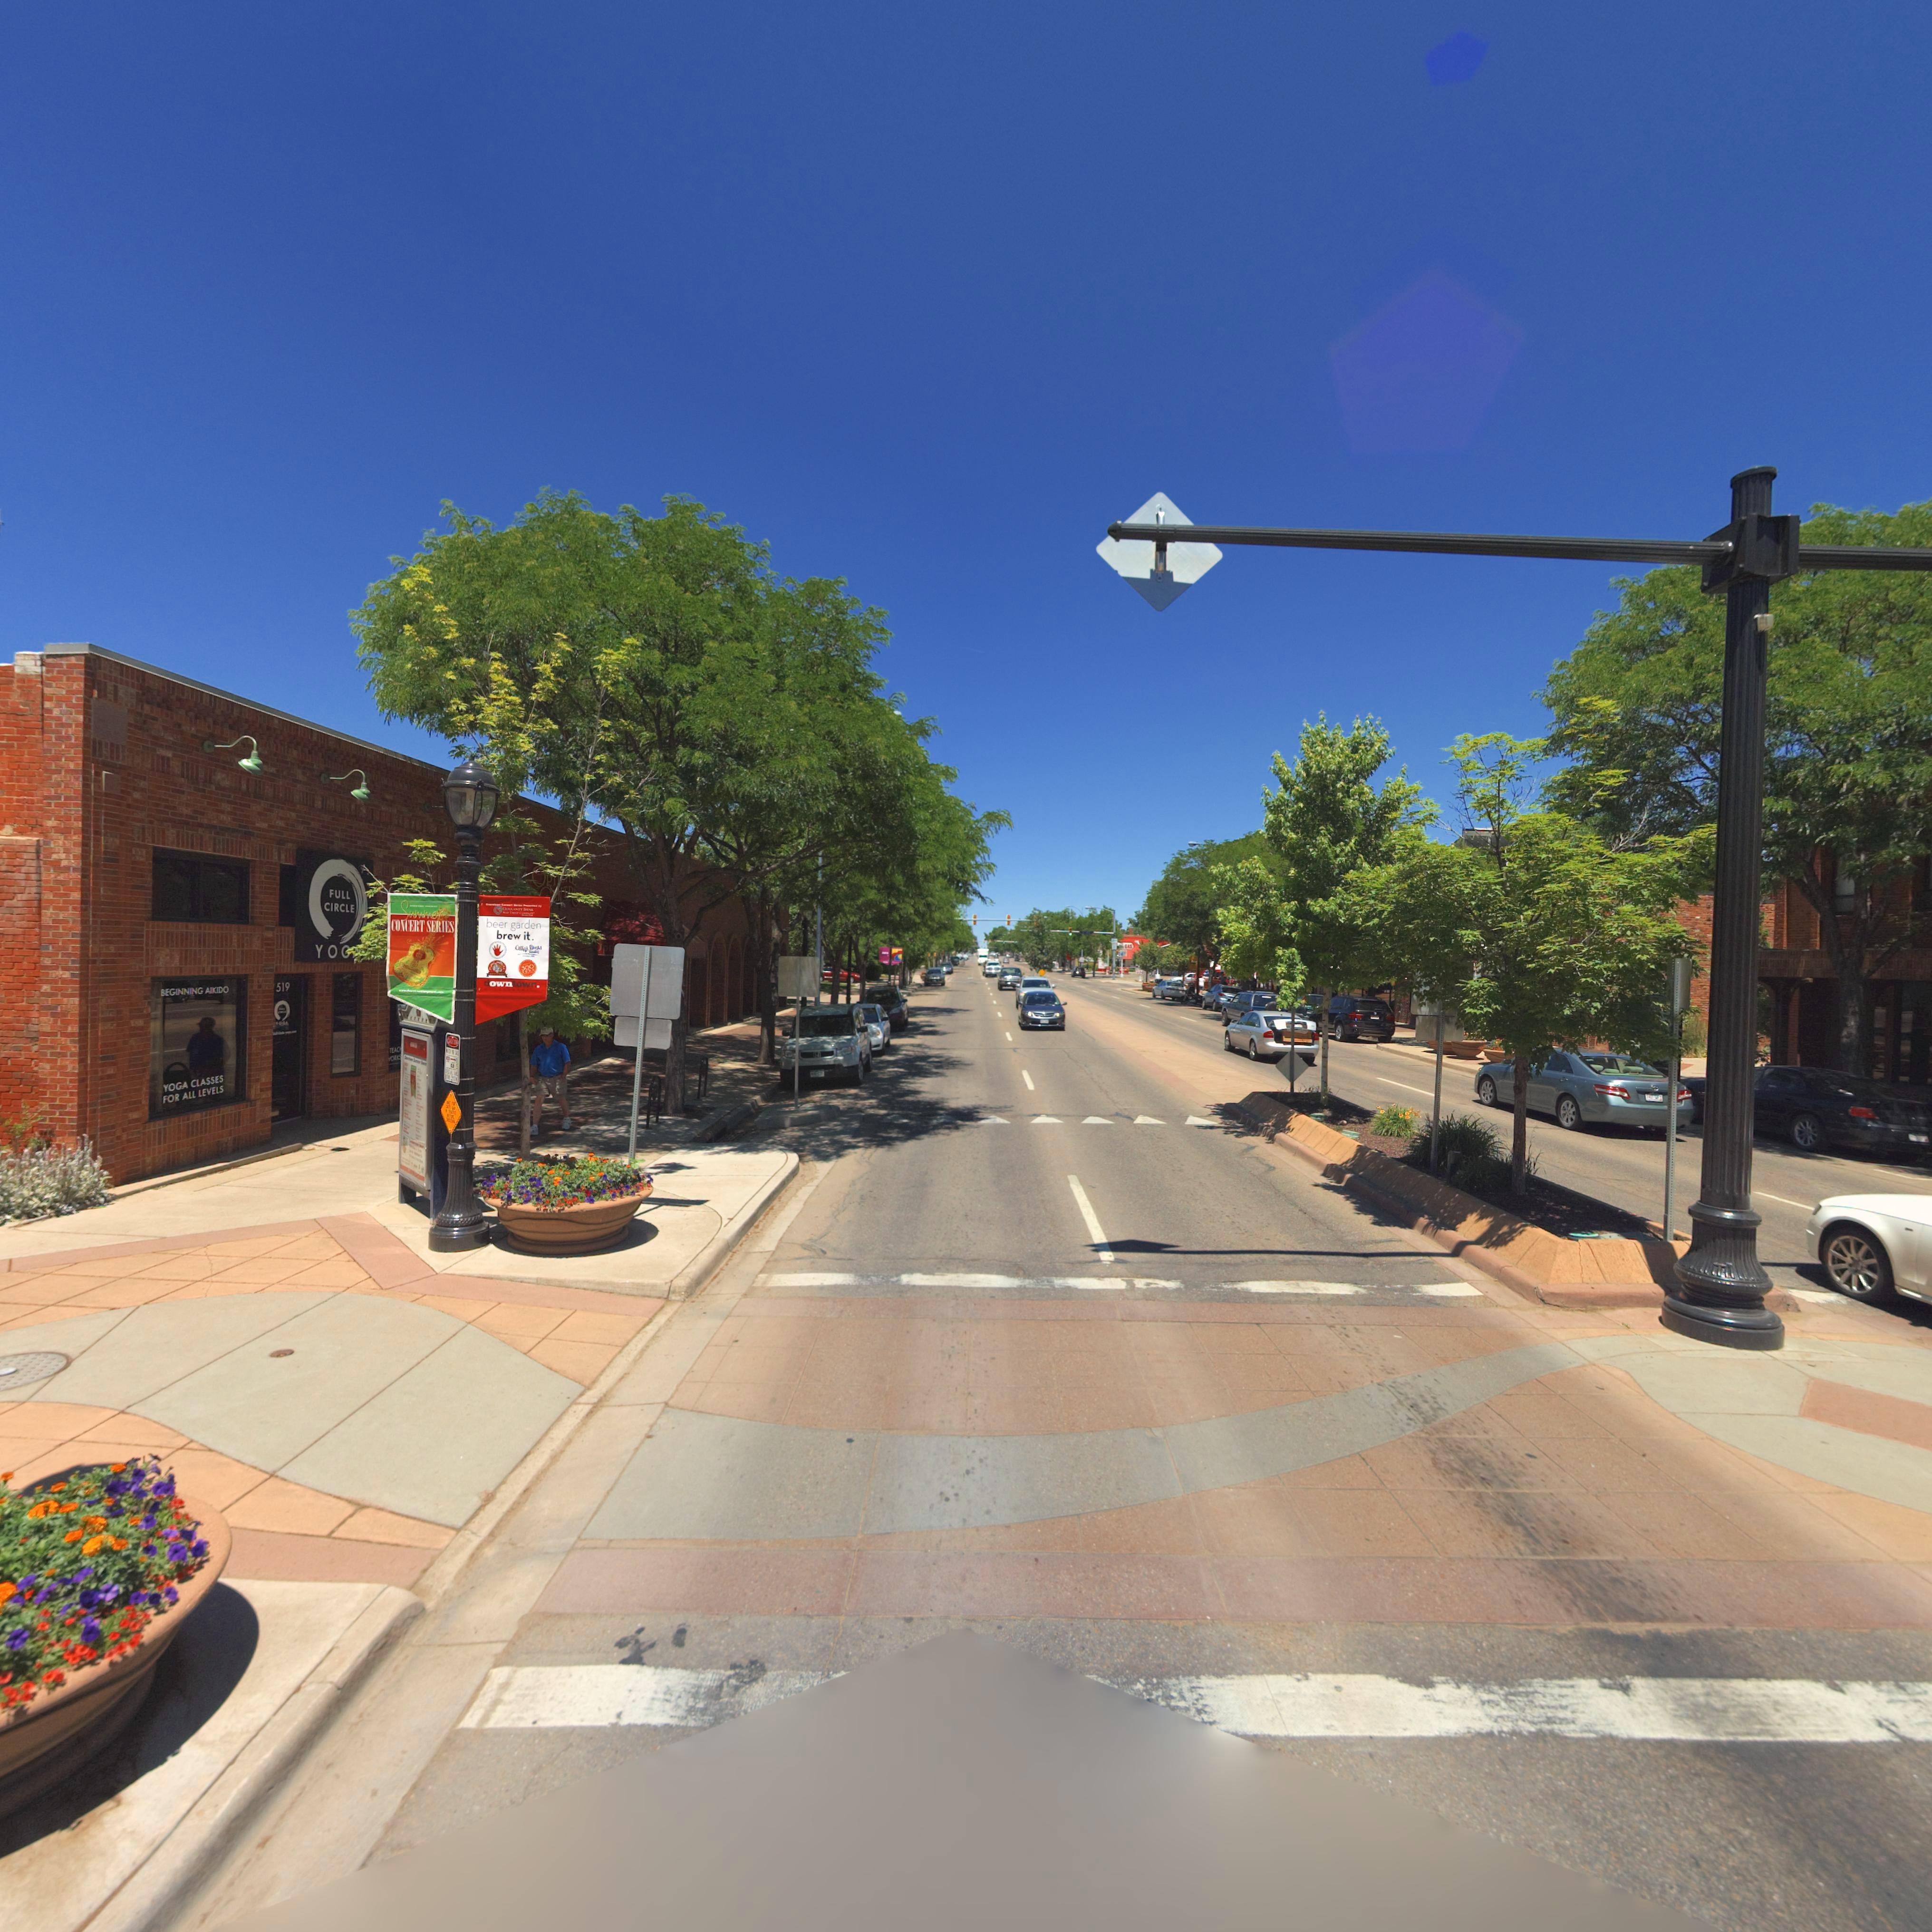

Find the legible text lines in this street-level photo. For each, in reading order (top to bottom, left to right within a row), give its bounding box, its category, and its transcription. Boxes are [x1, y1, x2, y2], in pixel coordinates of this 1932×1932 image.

[328, 889, 350, 899] BusinessName: FULL
[323, 901, 355, 913] BusinessName: CIRCLE
[314, 944, 350, 959] BusinessName: YO*
[275, 982, 290, 992] StreetNumber: 519
[275, 1021, 289, 1025] BusinessName: YOGA